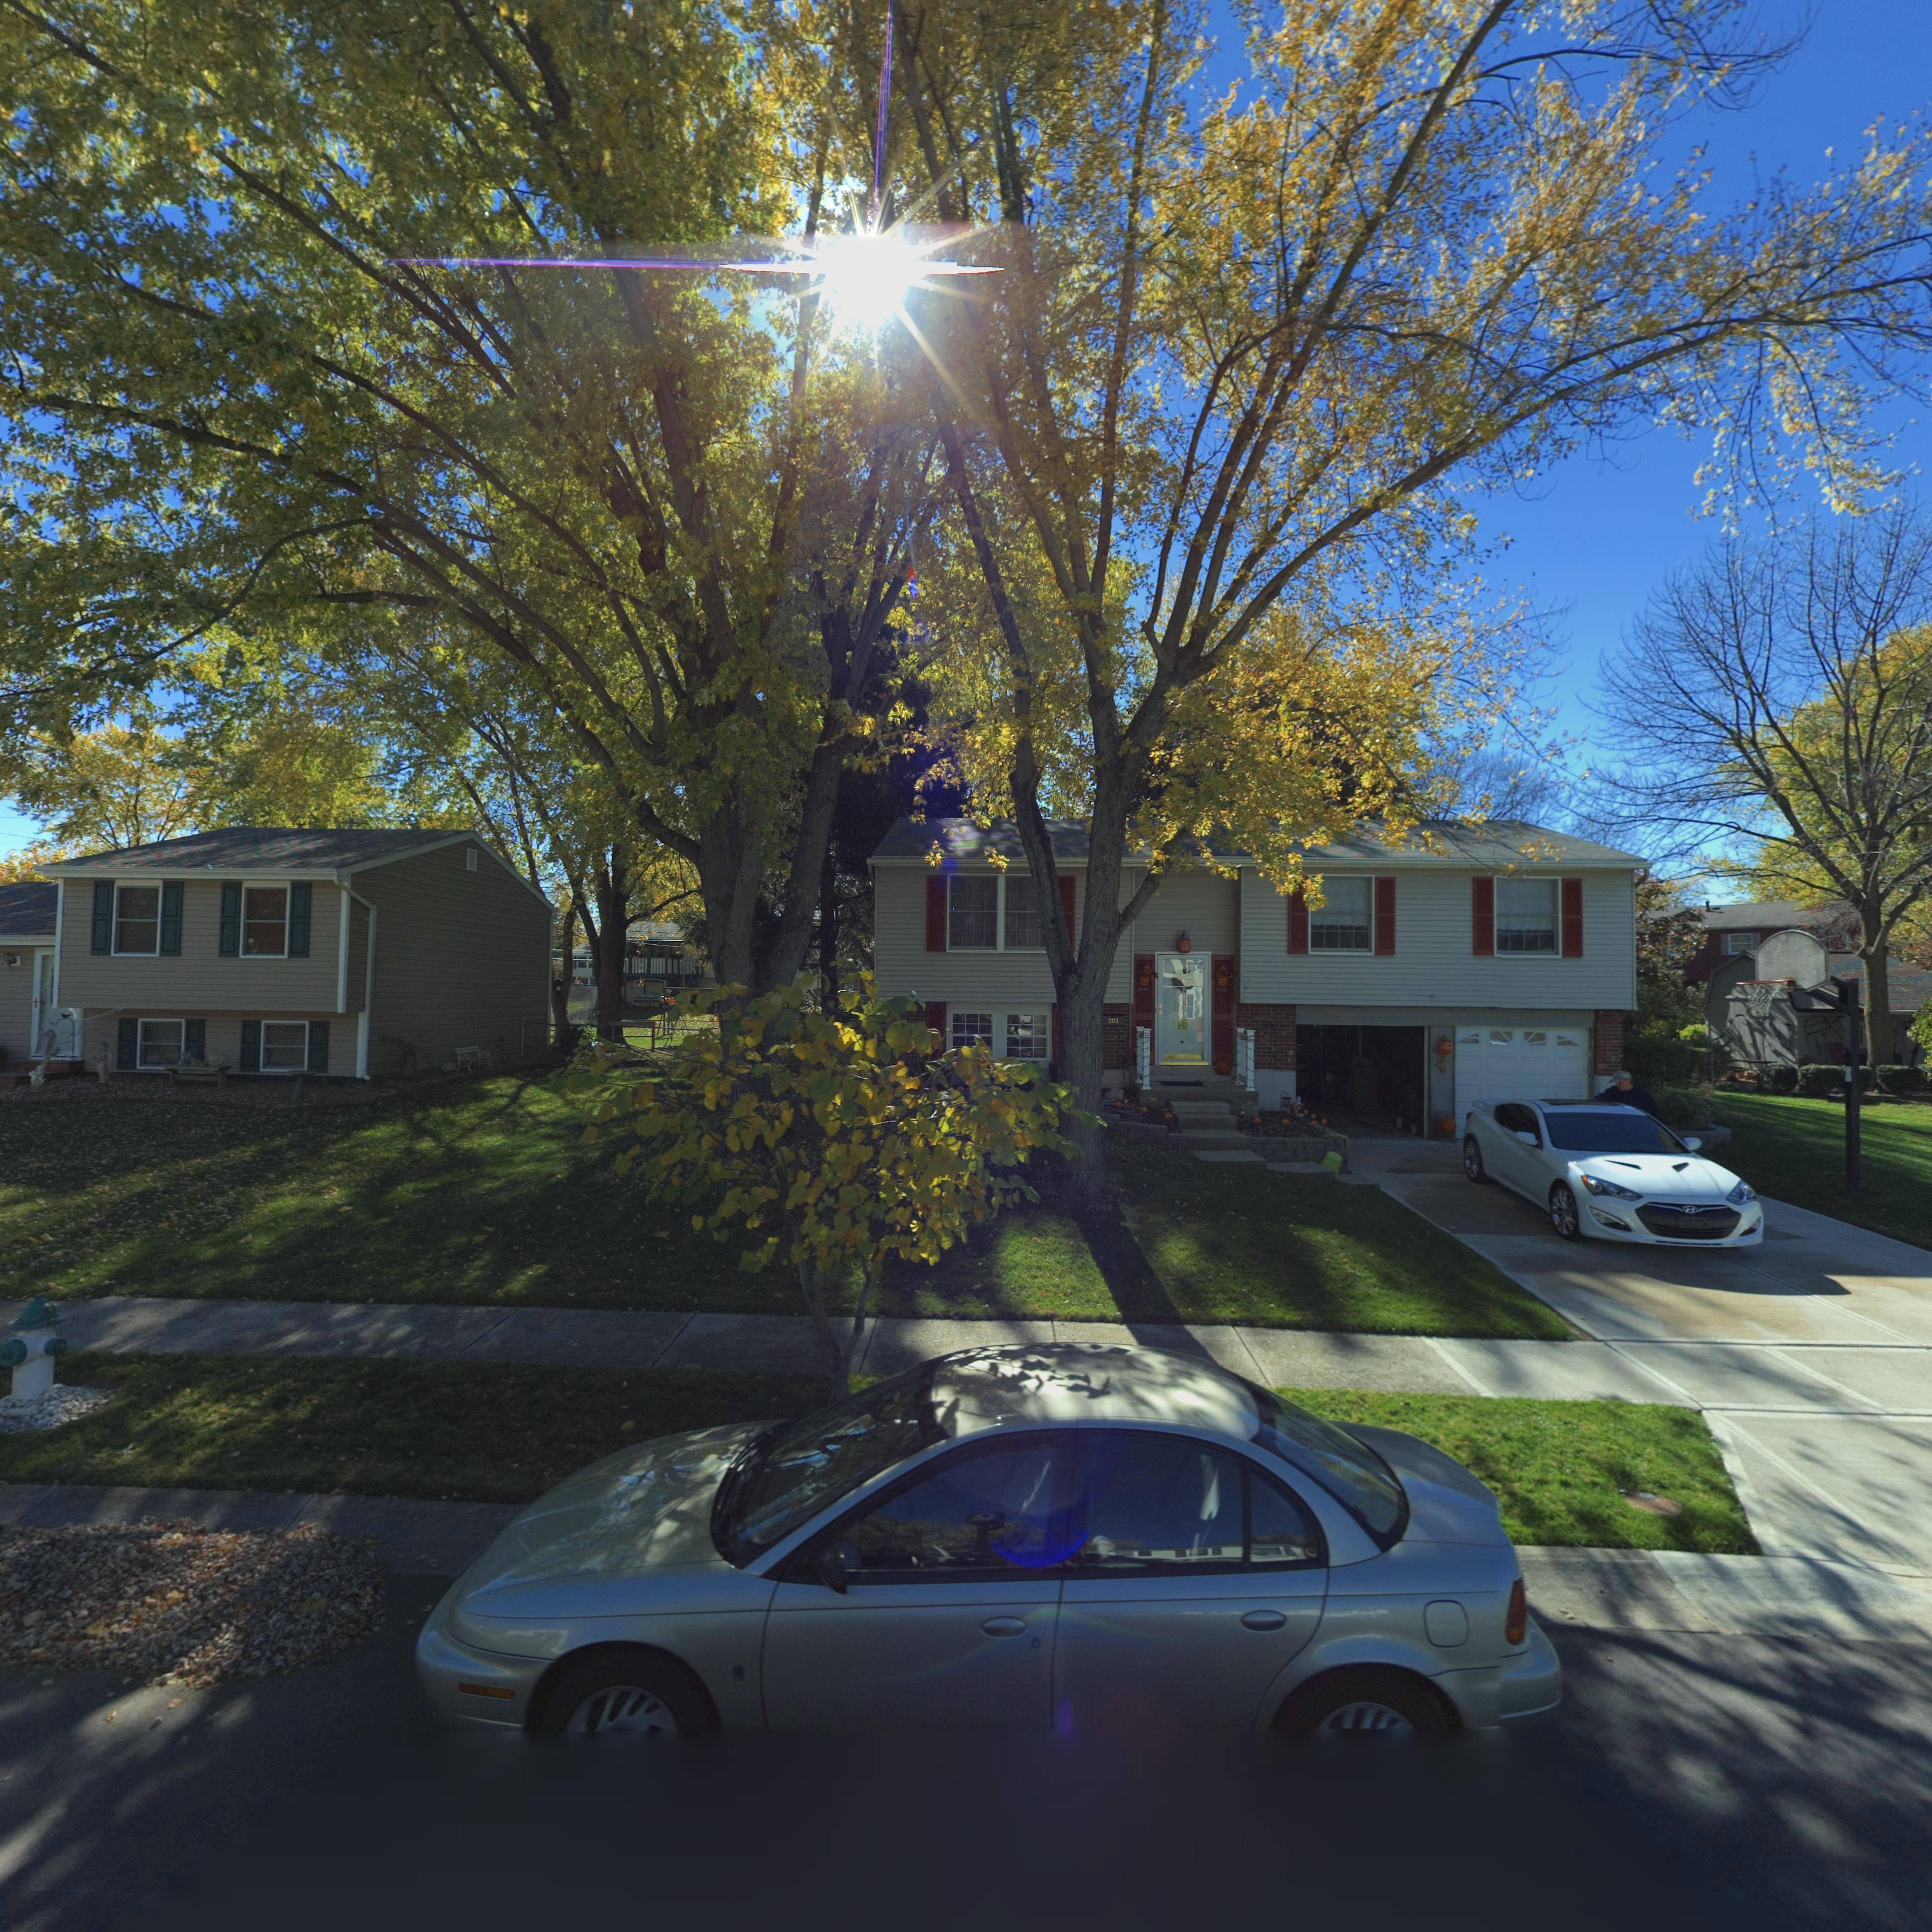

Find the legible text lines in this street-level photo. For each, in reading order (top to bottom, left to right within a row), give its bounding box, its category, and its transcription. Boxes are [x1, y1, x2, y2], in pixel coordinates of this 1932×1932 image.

[1108, 1017, 1120, 1024] StreetNumber: 203